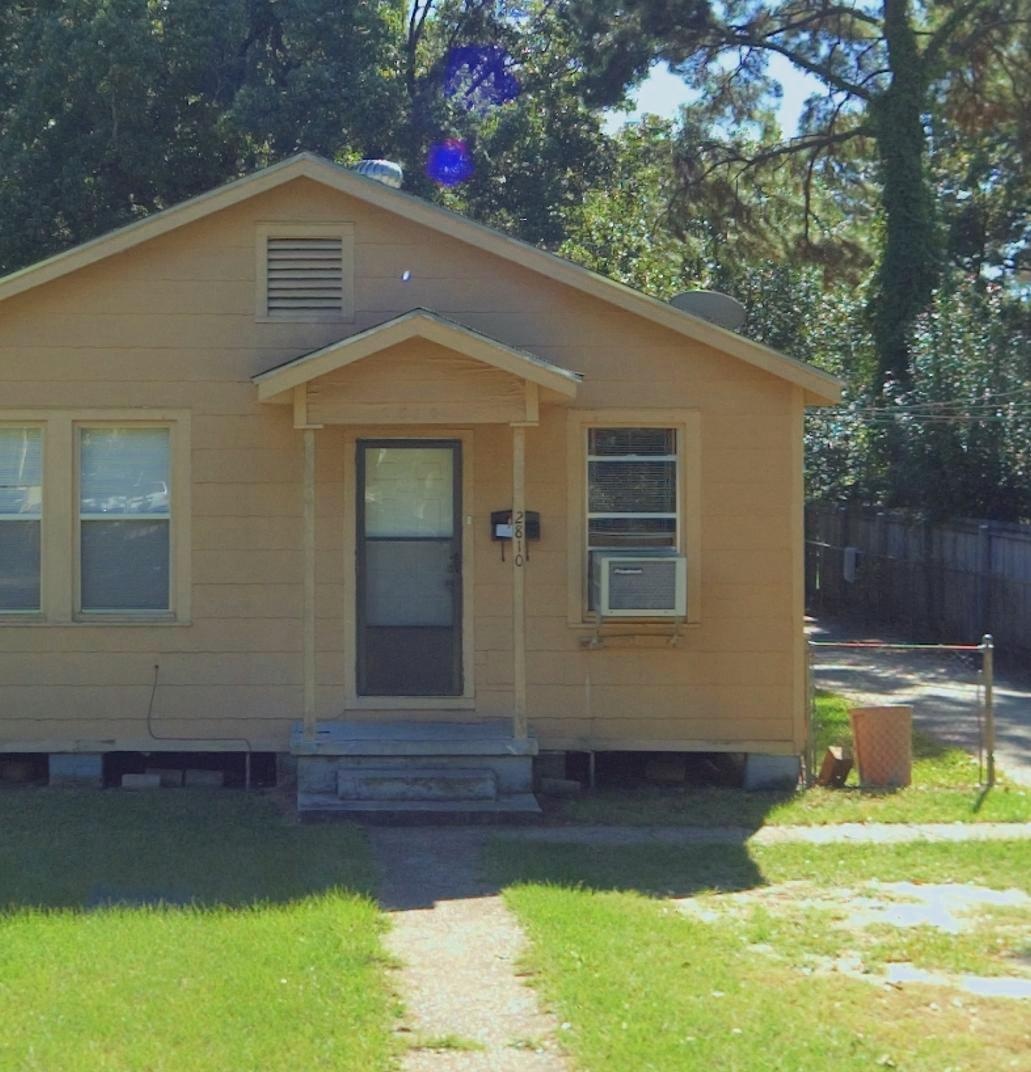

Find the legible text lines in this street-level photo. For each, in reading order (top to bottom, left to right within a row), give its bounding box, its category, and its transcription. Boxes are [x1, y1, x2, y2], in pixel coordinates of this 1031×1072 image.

[514, 510, 525, 568] StreetNumber: 2810